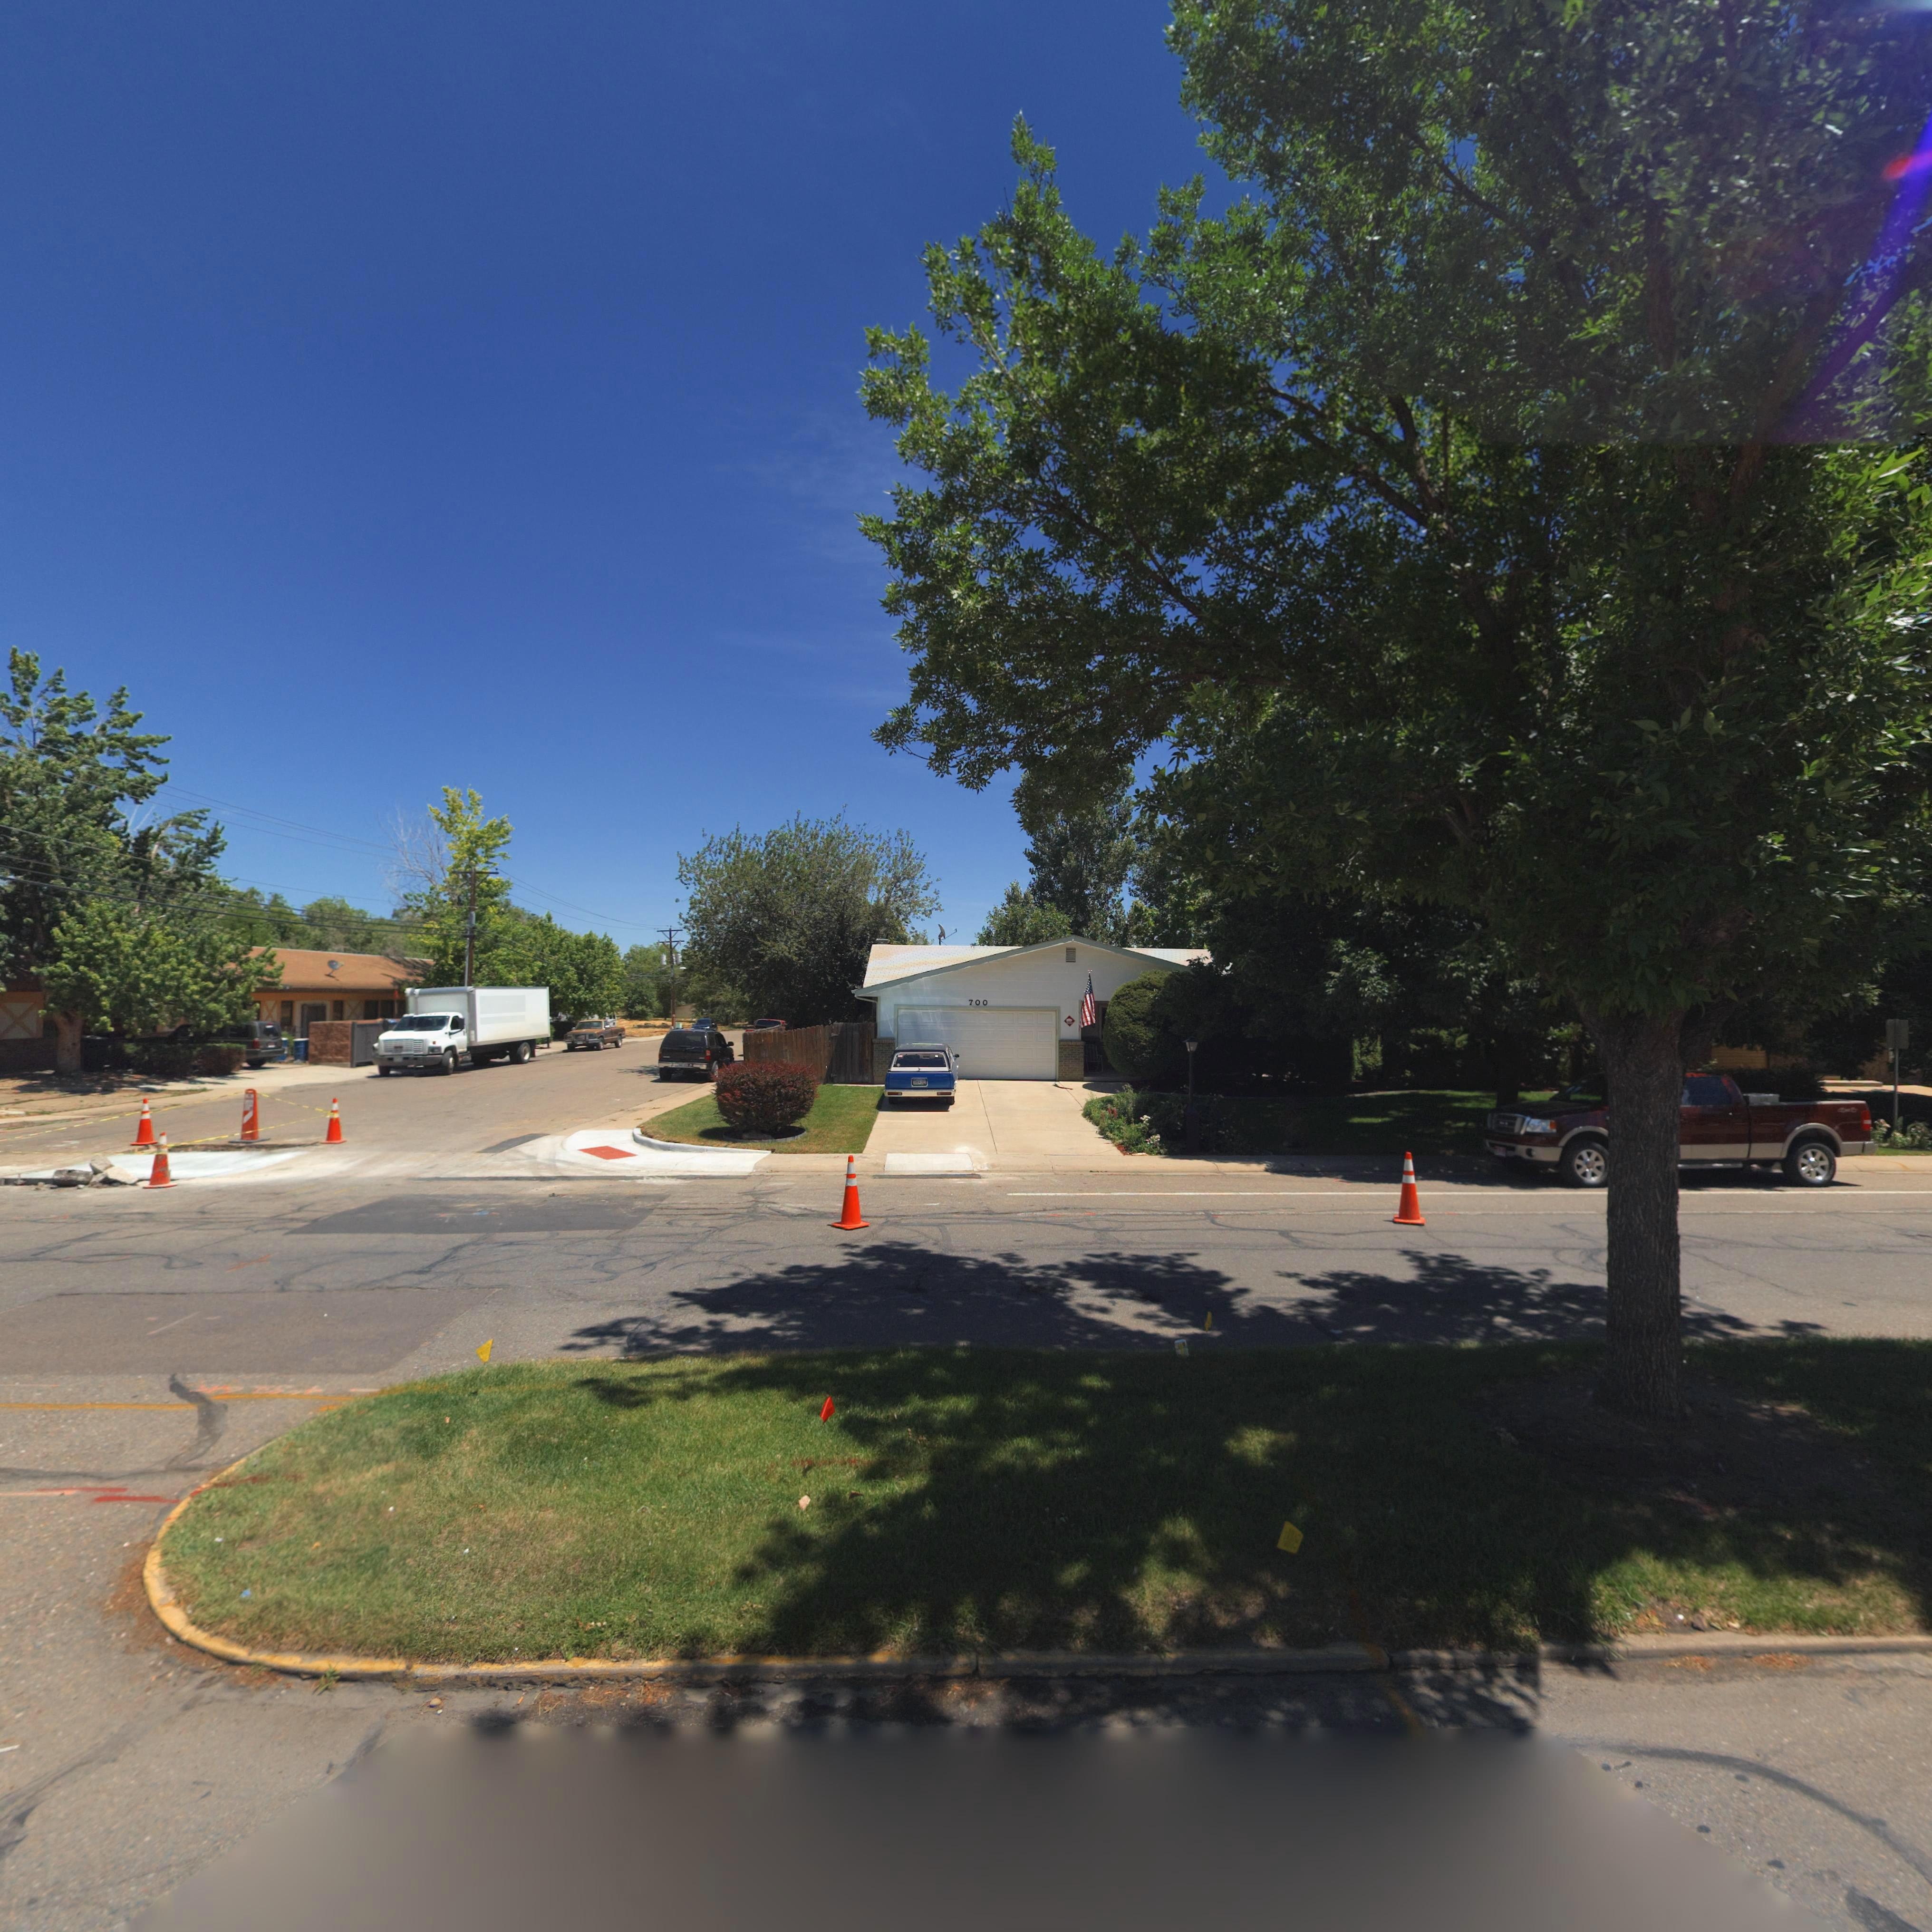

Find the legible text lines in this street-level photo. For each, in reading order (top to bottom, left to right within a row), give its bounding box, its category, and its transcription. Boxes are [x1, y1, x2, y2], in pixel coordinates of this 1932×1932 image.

[968, 999, 988, 1006] StreetNumber: 700